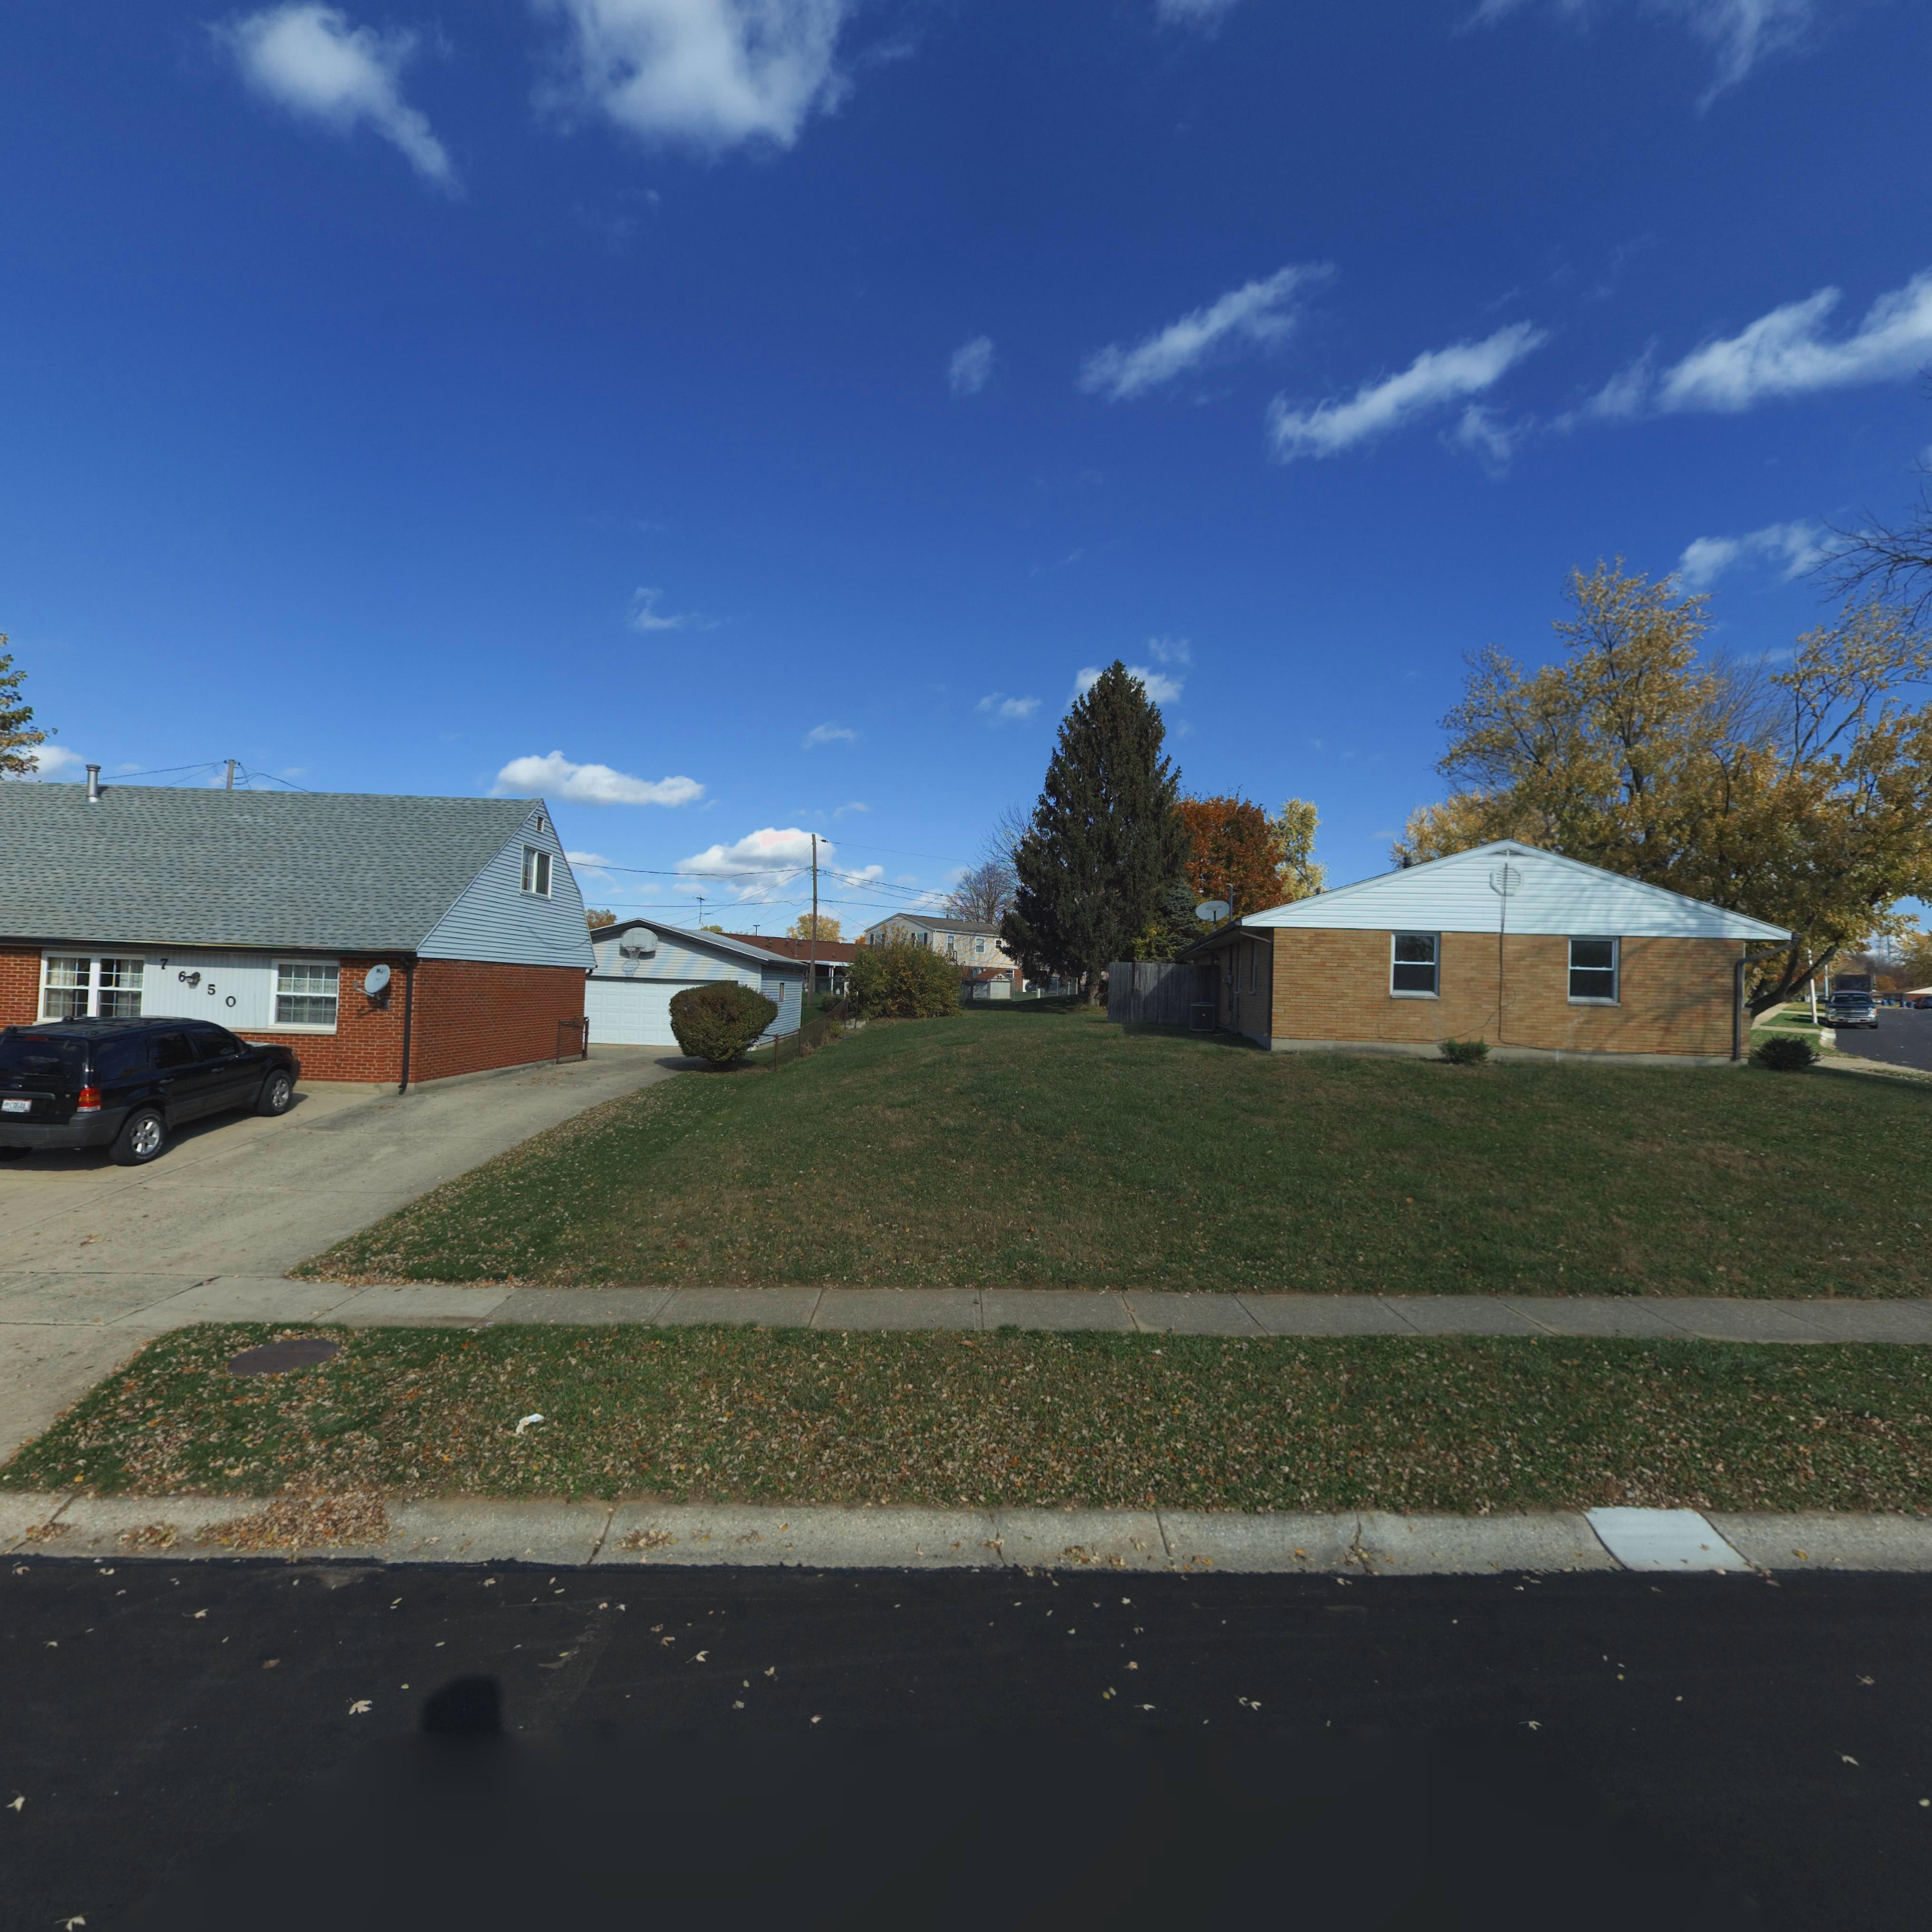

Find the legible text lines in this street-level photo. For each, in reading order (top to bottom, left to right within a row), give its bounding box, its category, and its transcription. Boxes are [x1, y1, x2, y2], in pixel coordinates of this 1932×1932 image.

[160, 958, 237, 1008] StreetNumber: 76*50